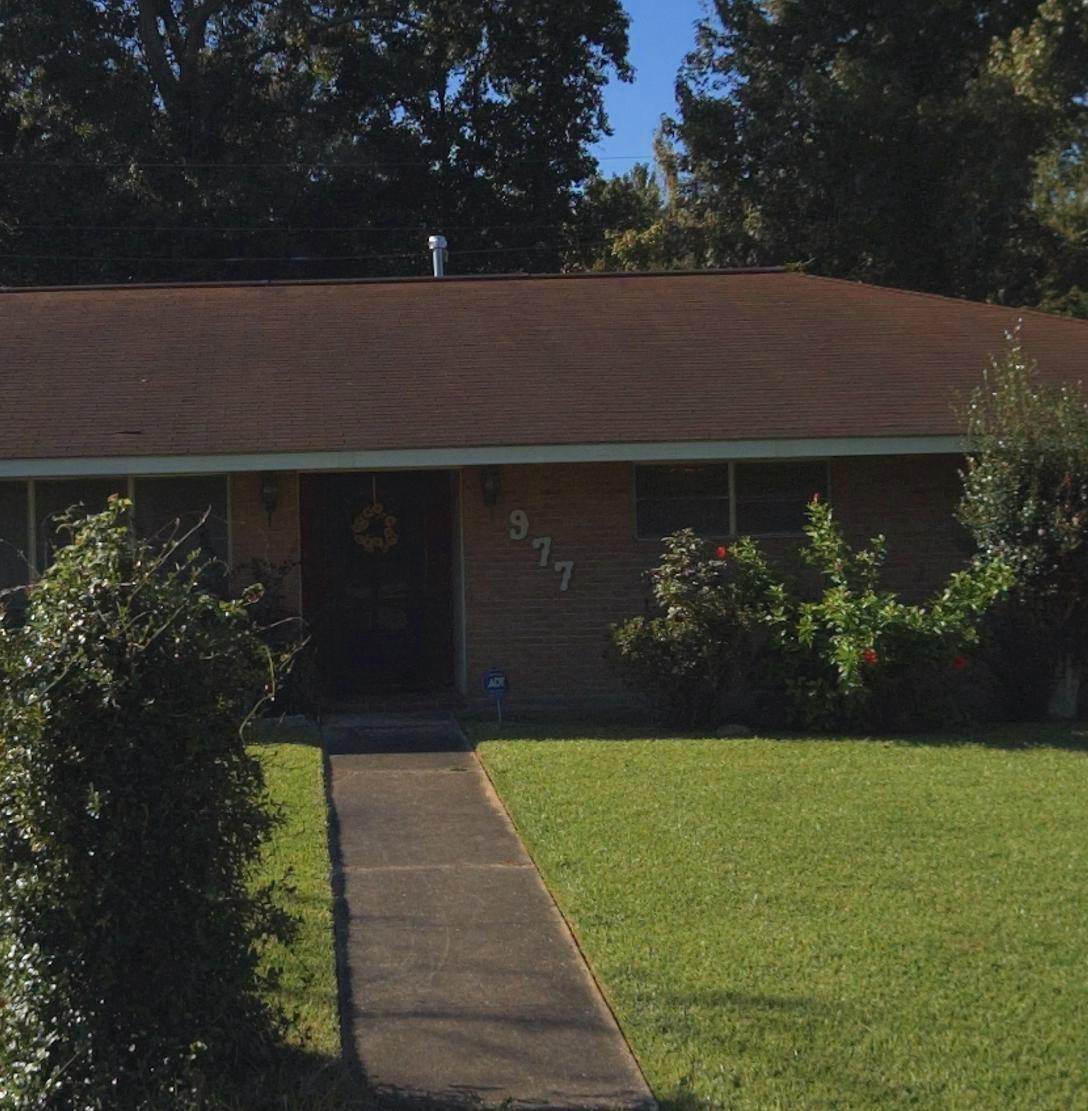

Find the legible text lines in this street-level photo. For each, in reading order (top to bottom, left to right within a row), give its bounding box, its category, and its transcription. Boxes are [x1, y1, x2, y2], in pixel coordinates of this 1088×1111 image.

[508, 508, 575, 593] StreetNumber: 977
[487, 677, 506, 688] None: ADT